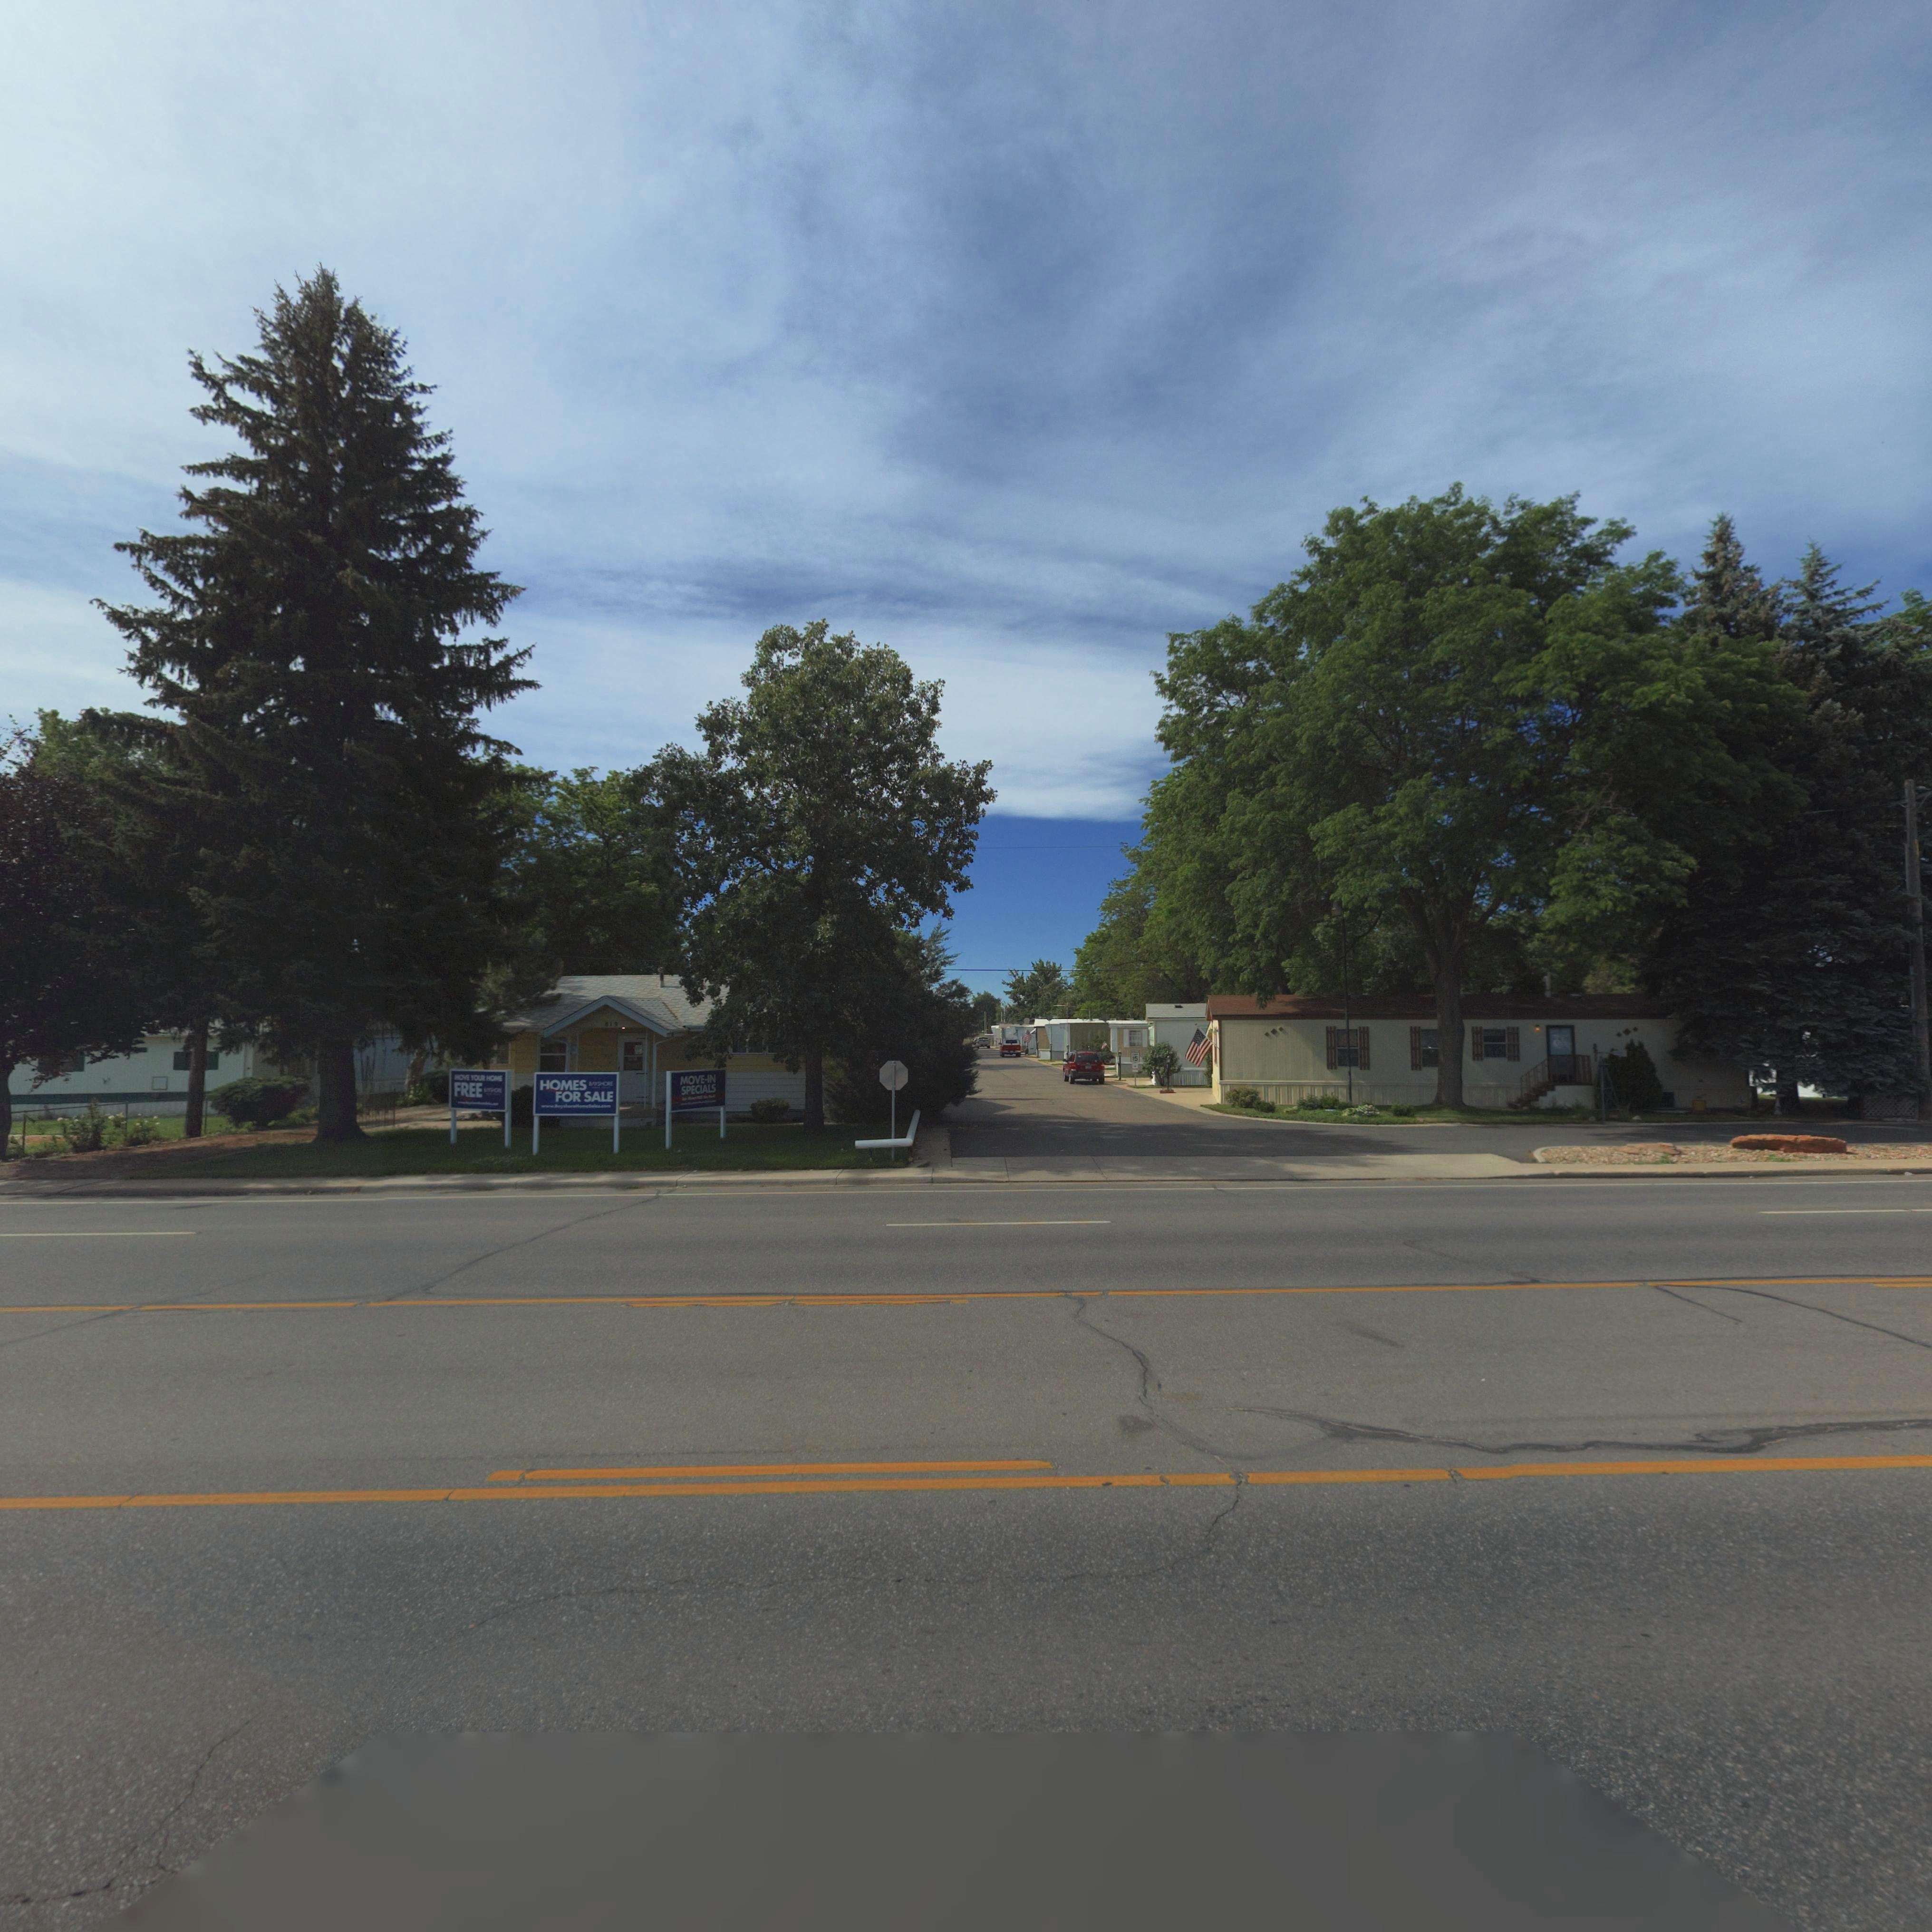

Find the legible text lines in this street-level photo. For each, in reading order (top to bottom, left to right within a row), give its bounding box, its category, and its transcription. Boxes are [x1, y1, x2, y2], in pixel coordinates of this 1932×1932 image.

[605, 1021, 618, 1027] StreetNumber: 819